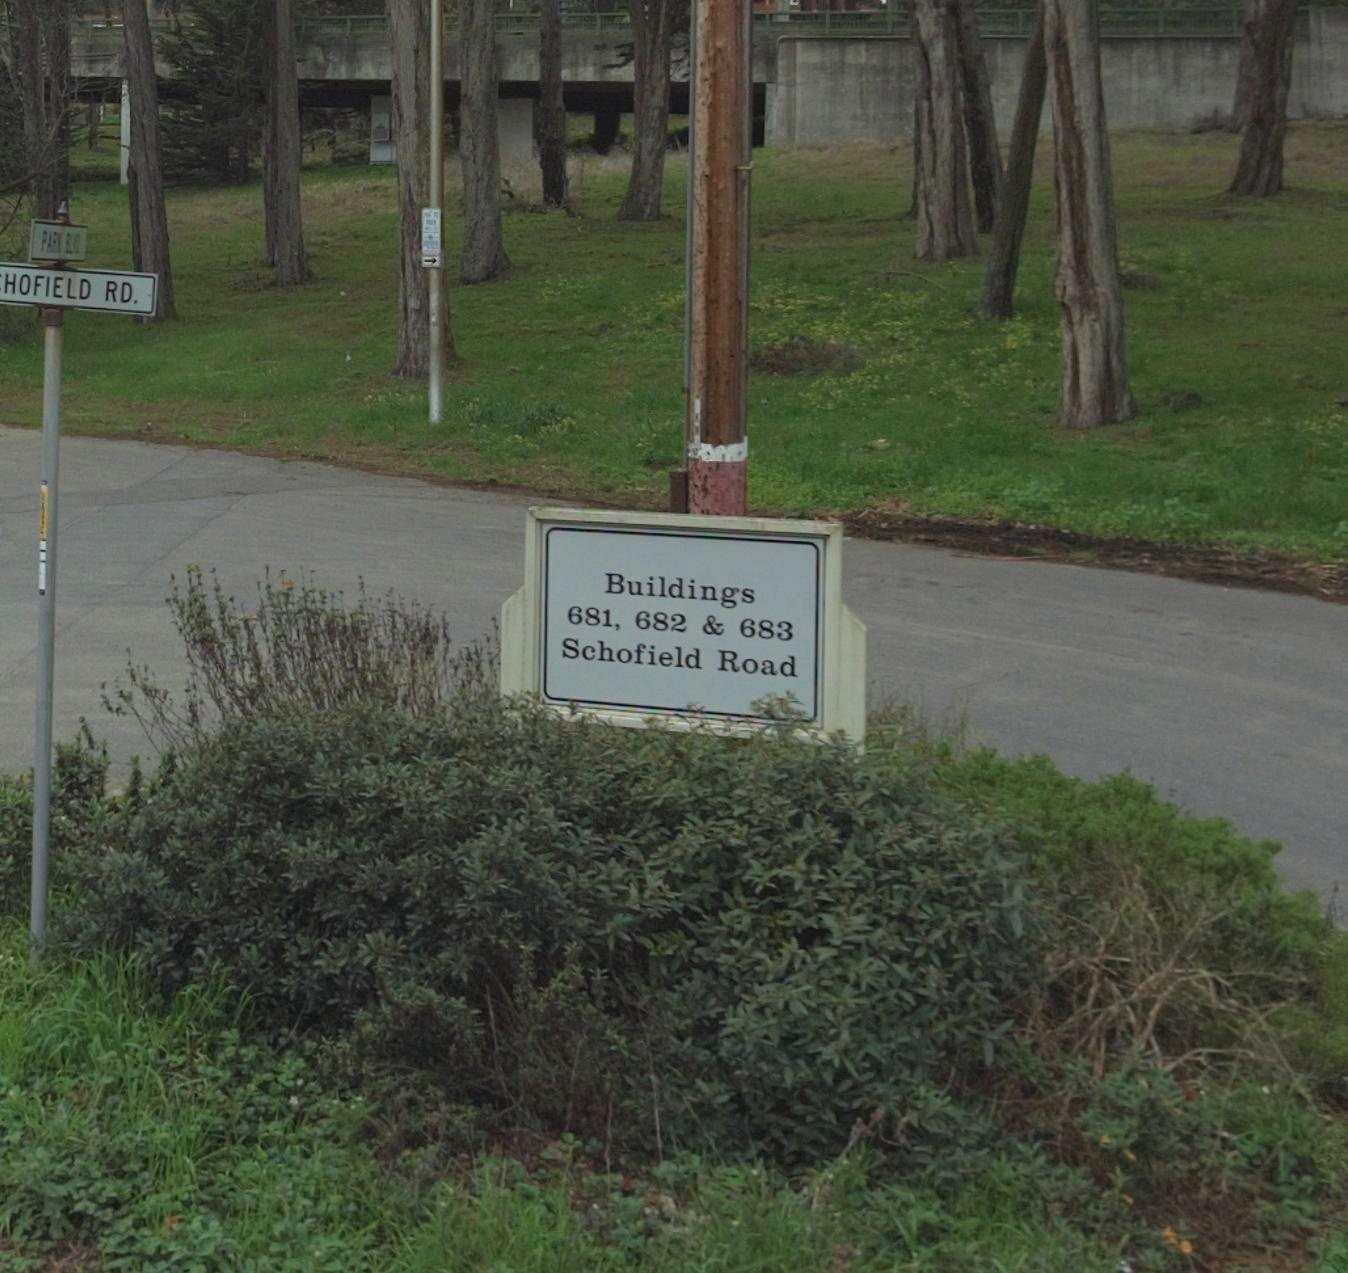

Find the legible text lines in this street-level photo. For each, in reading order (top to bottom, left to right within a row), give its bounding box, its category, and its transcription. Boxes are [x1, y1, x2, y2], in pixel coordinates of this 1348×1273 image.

[40, 229, 83, 254] StreetName: PARK BLVD.
[3, 270, 139, 305] StreetName: HOFIELD RD.
[604, 570, 757, 611] None: Buildings
[565, 603, 796, 643] None: 681, 682 & 683
[561, 635, 799, 679] None: Schofield Road